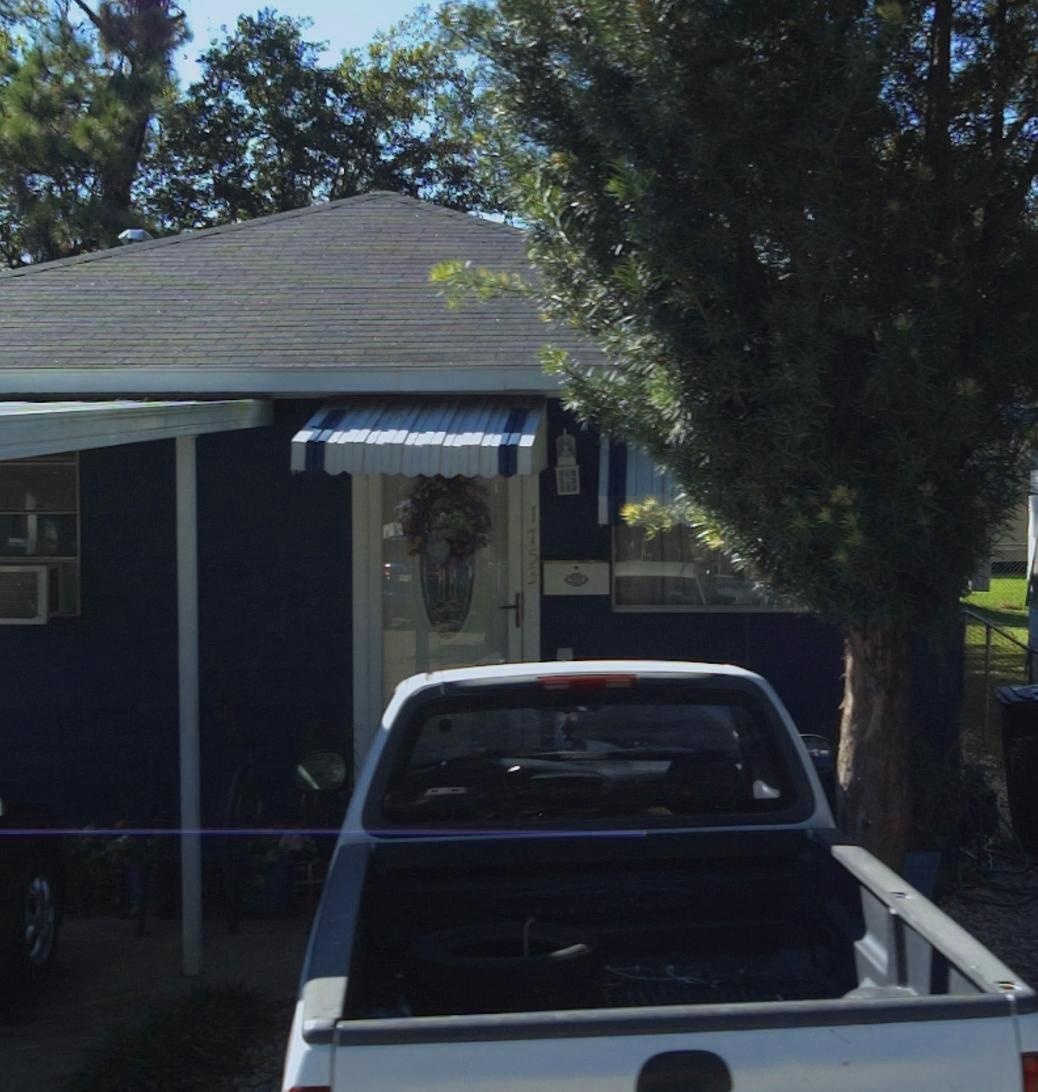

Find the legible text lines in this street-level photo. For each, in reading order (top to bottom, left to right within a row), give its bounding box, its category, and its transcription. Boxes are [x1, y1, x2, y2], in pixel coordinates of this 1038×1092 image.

[526, 504, 539, 586] StreetNumber: 1753